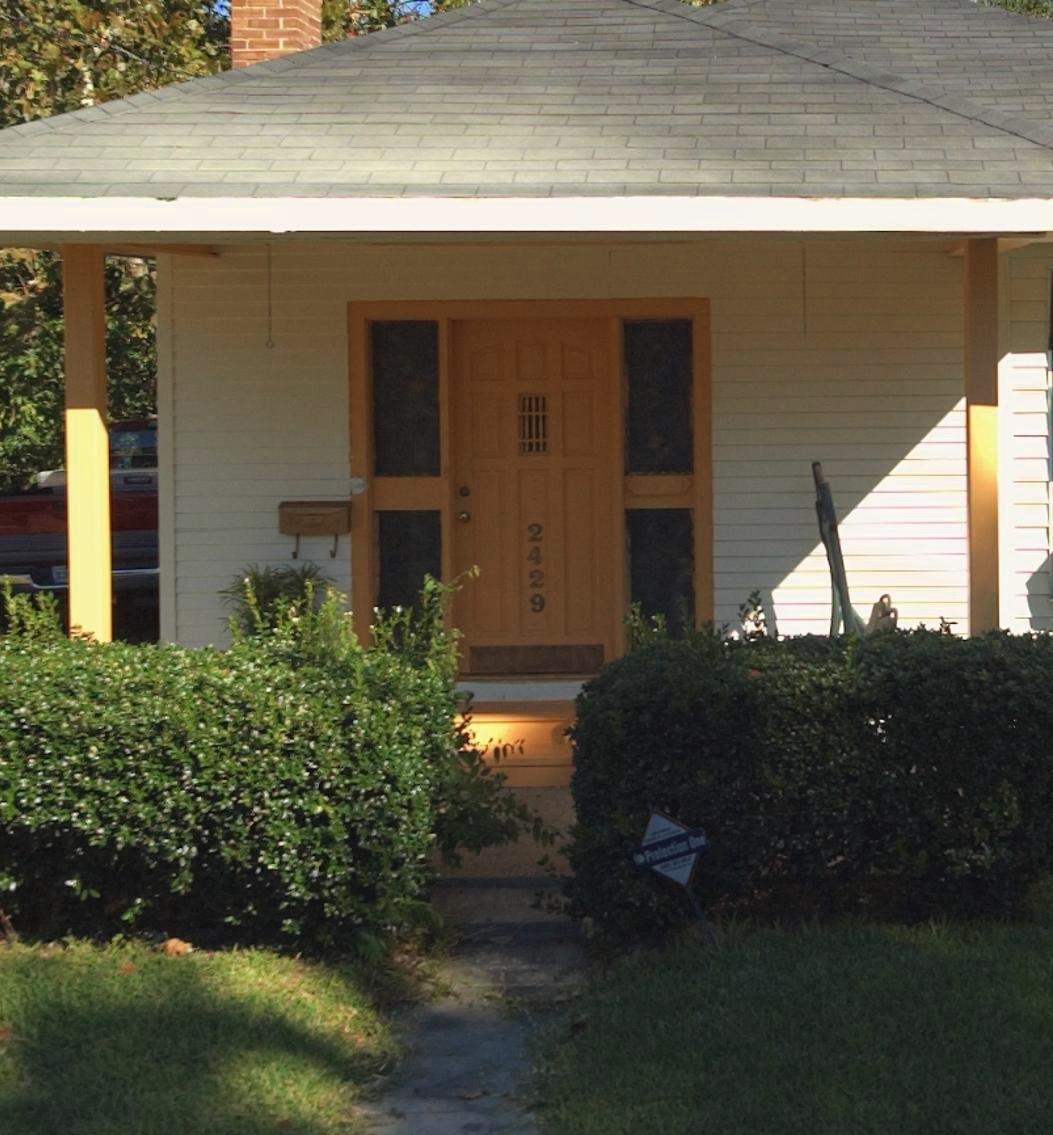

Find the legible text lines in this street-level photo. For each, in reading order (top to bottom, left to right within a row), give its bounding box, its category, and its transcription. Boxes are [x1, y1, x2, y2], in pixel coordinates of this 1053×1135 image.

[525, 520, 548, 615] StreetNumber: 2429
[641, 832, 710, 866] None: Protection One